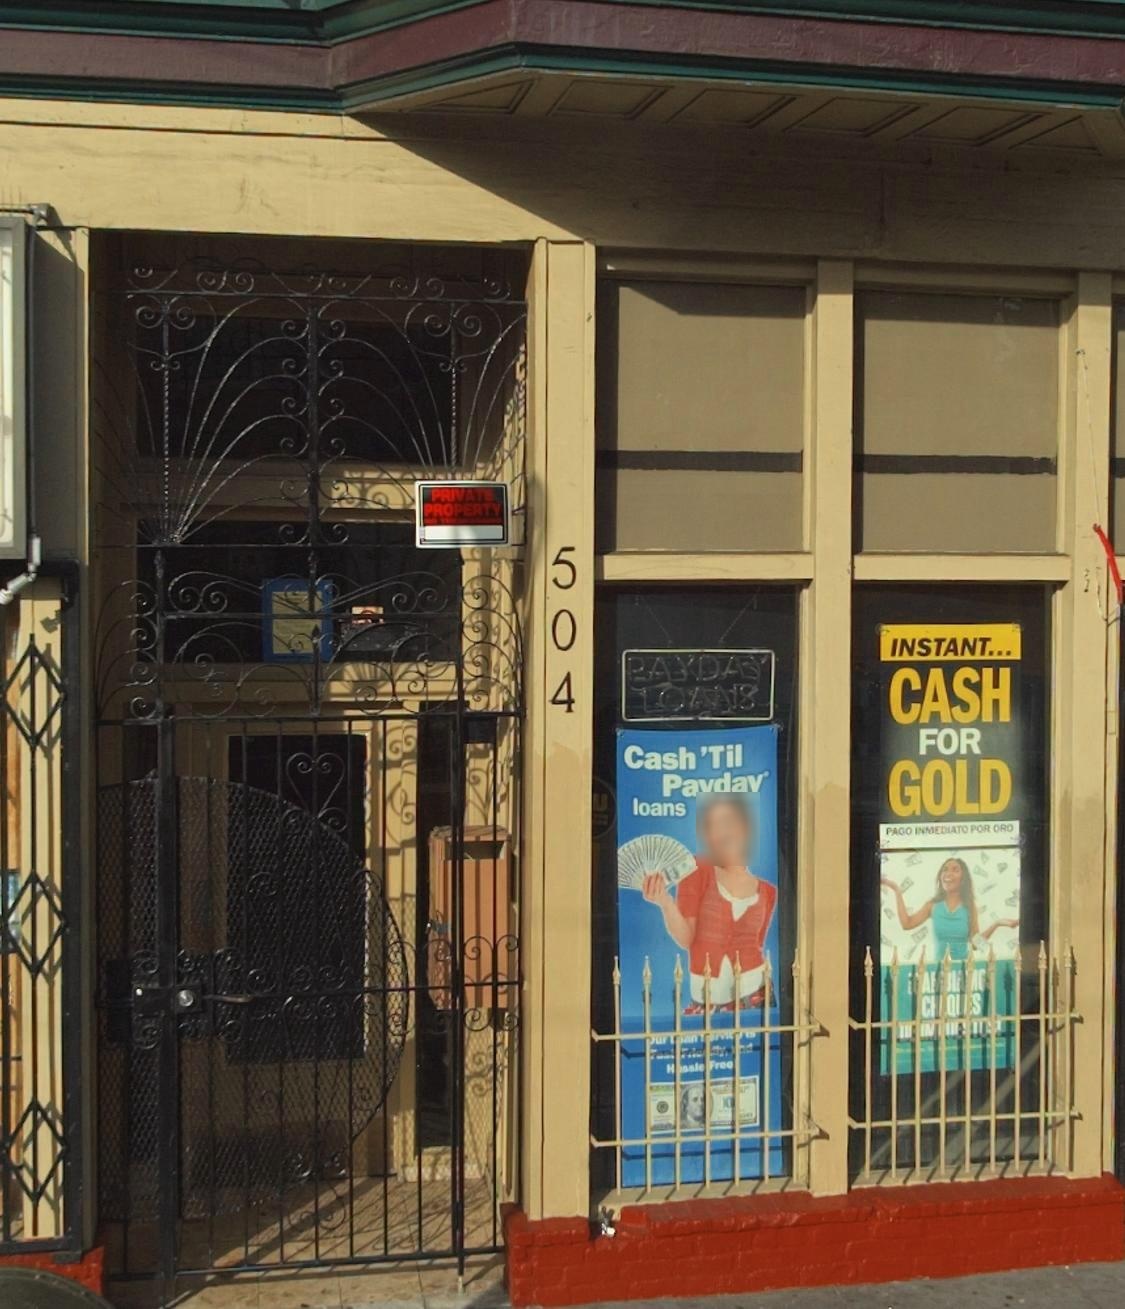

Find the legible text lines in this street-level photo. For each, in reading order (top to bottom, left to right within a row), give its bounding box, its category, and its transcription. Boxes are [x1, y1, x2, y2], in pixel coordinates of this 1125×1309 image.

[430, 486, 494, 501] None: PRIVATE
[422, 501, 500, 516] None: PROPERTY
[550, 543, 578, 715] StreetNumber: 504
[888, 635, 991, 657] None: INSTANT
[626, 654, 769, 682] None: PAYDAY
[639, 683, 757, 710] None: LOANS
[887, 663, 1012, 724] None: CASH
[917, 726, 982, 754] None: FOR
[624, 743, 743, 771] None: Cash'Til
[661, 771, 763, 802] None: Payday
[886, 757, 1014, 817] None: GOLD
[631, 795, 686, 817] None: loans
[885, 822, 1013, 836] None: PAGO IMMEDIATO POR ORO
[920, 994, 941, 1019] None: CH
[945, 993, 960, 1019] None: Q